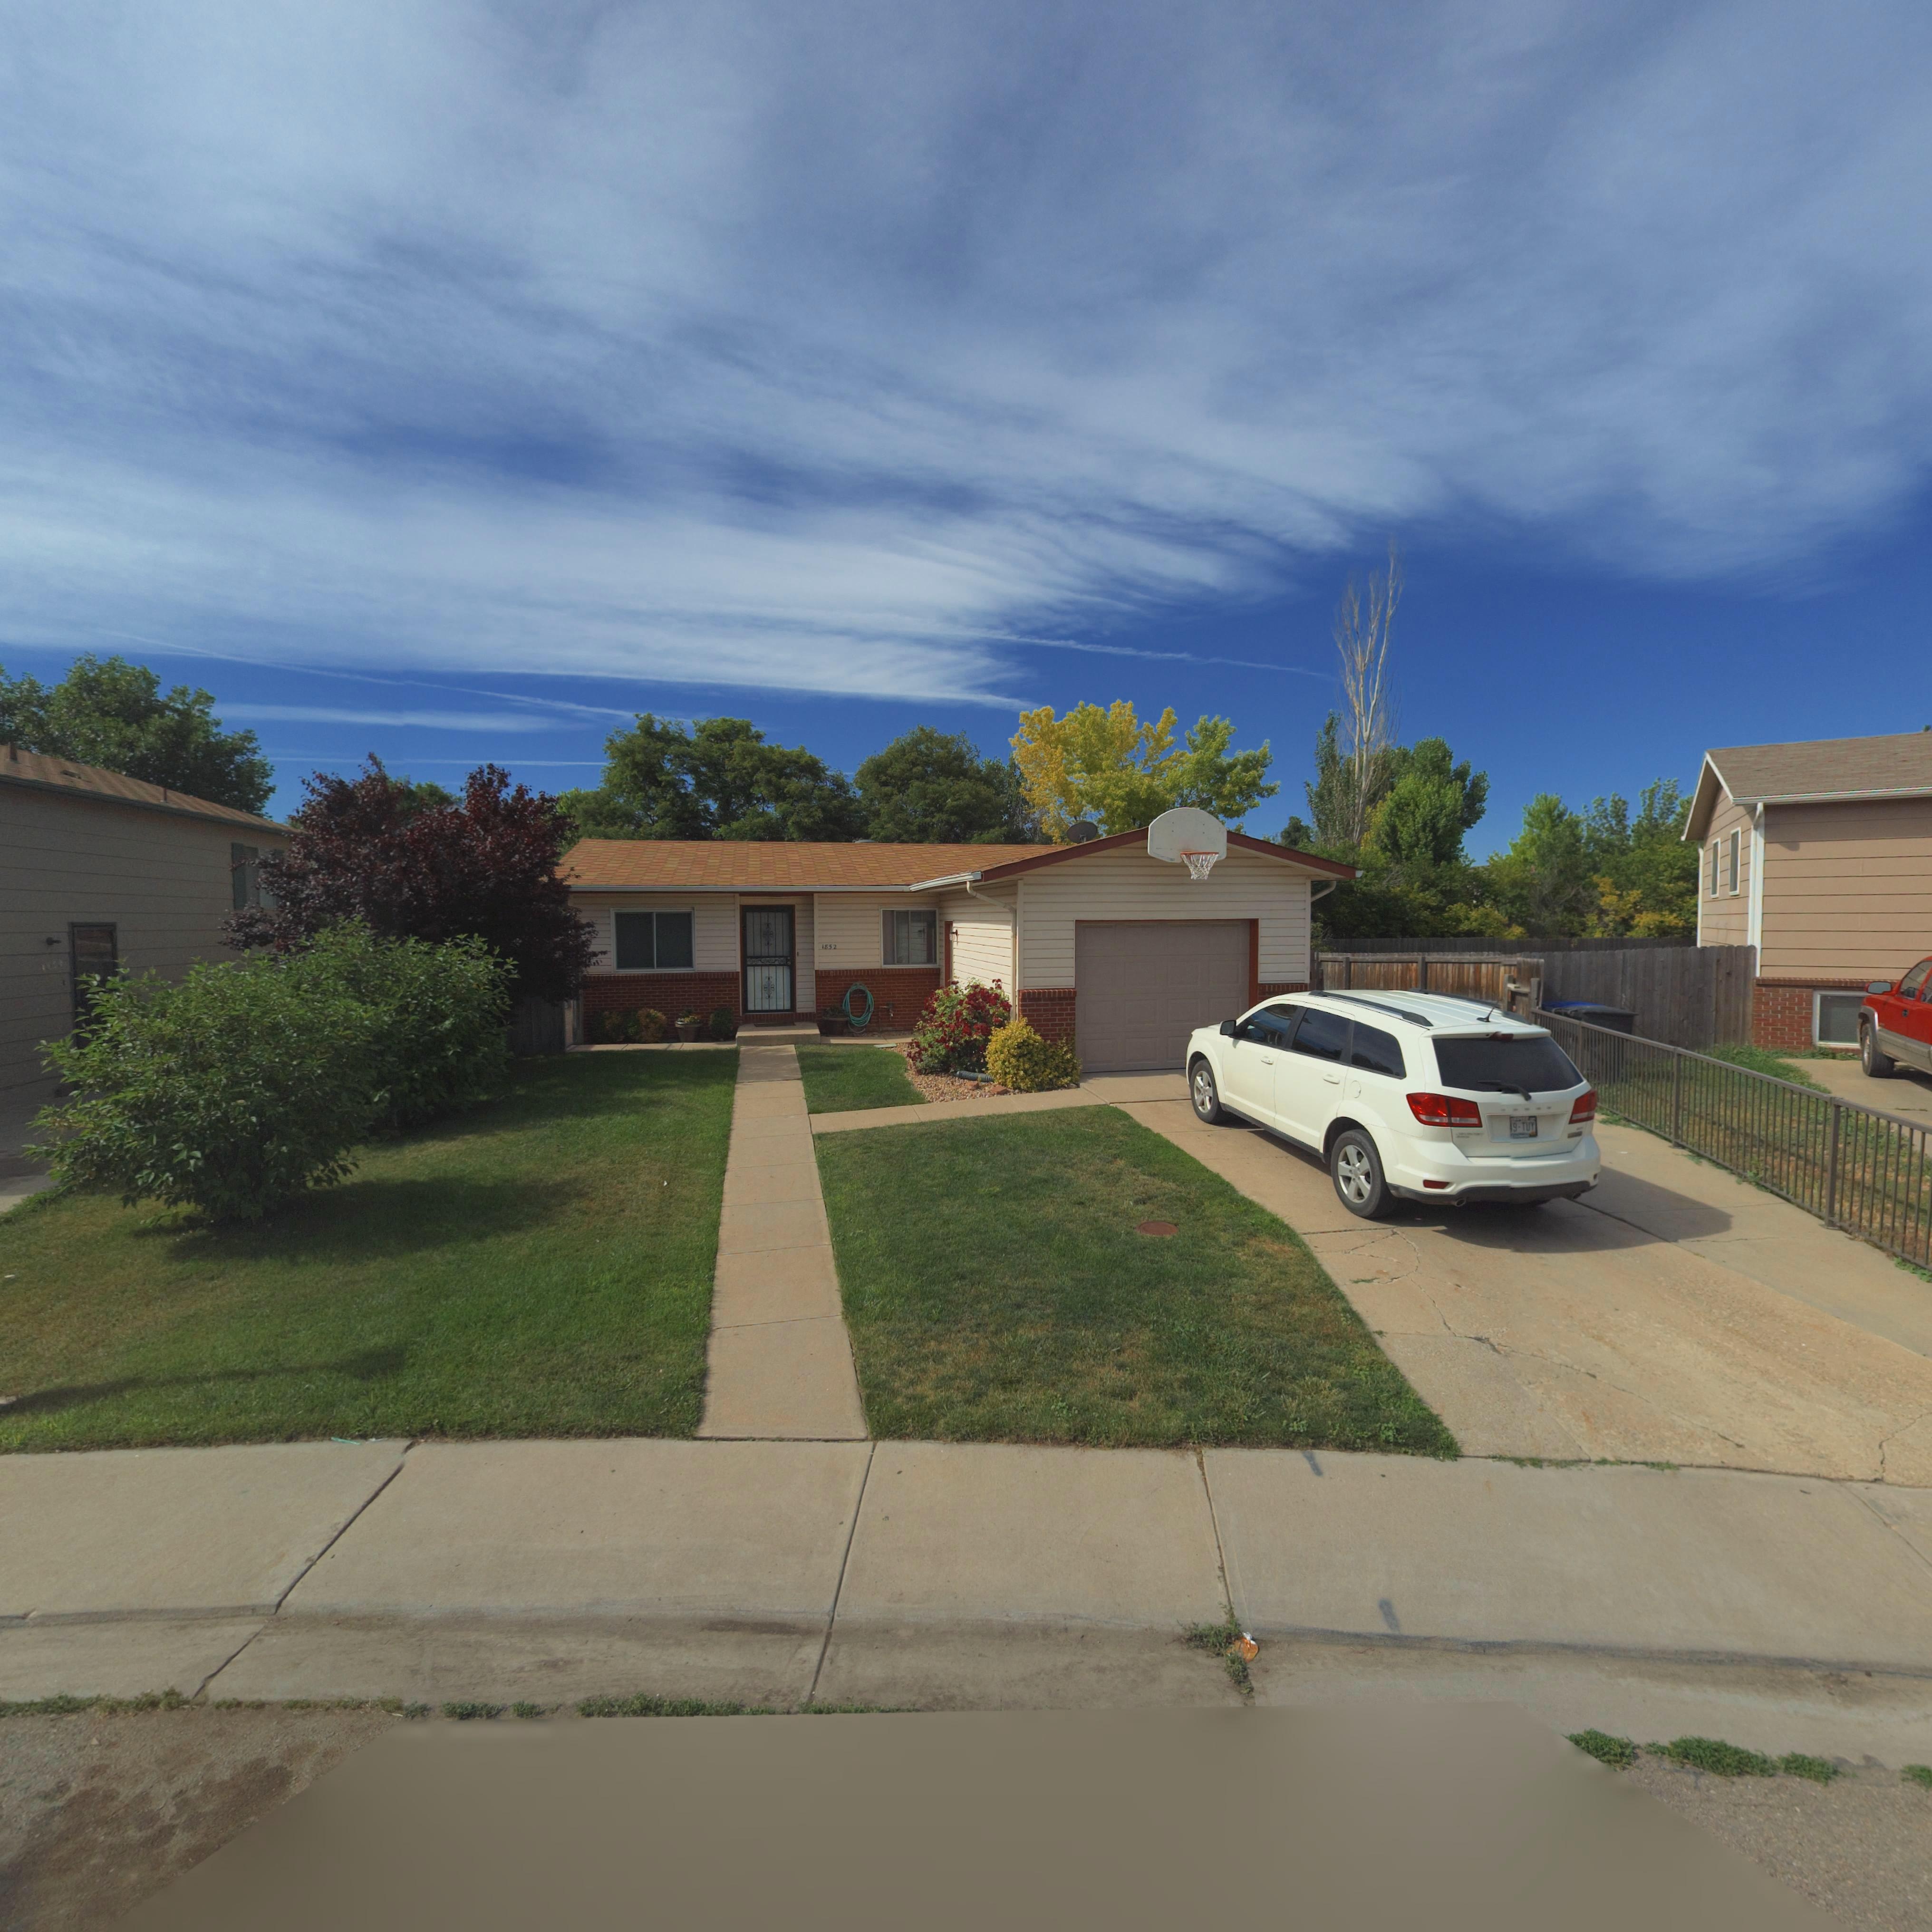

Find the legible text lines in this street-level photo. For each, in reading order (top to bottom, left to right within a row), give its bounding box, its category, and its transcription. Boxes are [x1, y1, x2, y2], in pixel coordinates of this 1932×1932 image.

[821, 944, 837, 949] StreetNumber: 1852
[41, 957, 64, 971] StreetNumber: 1***